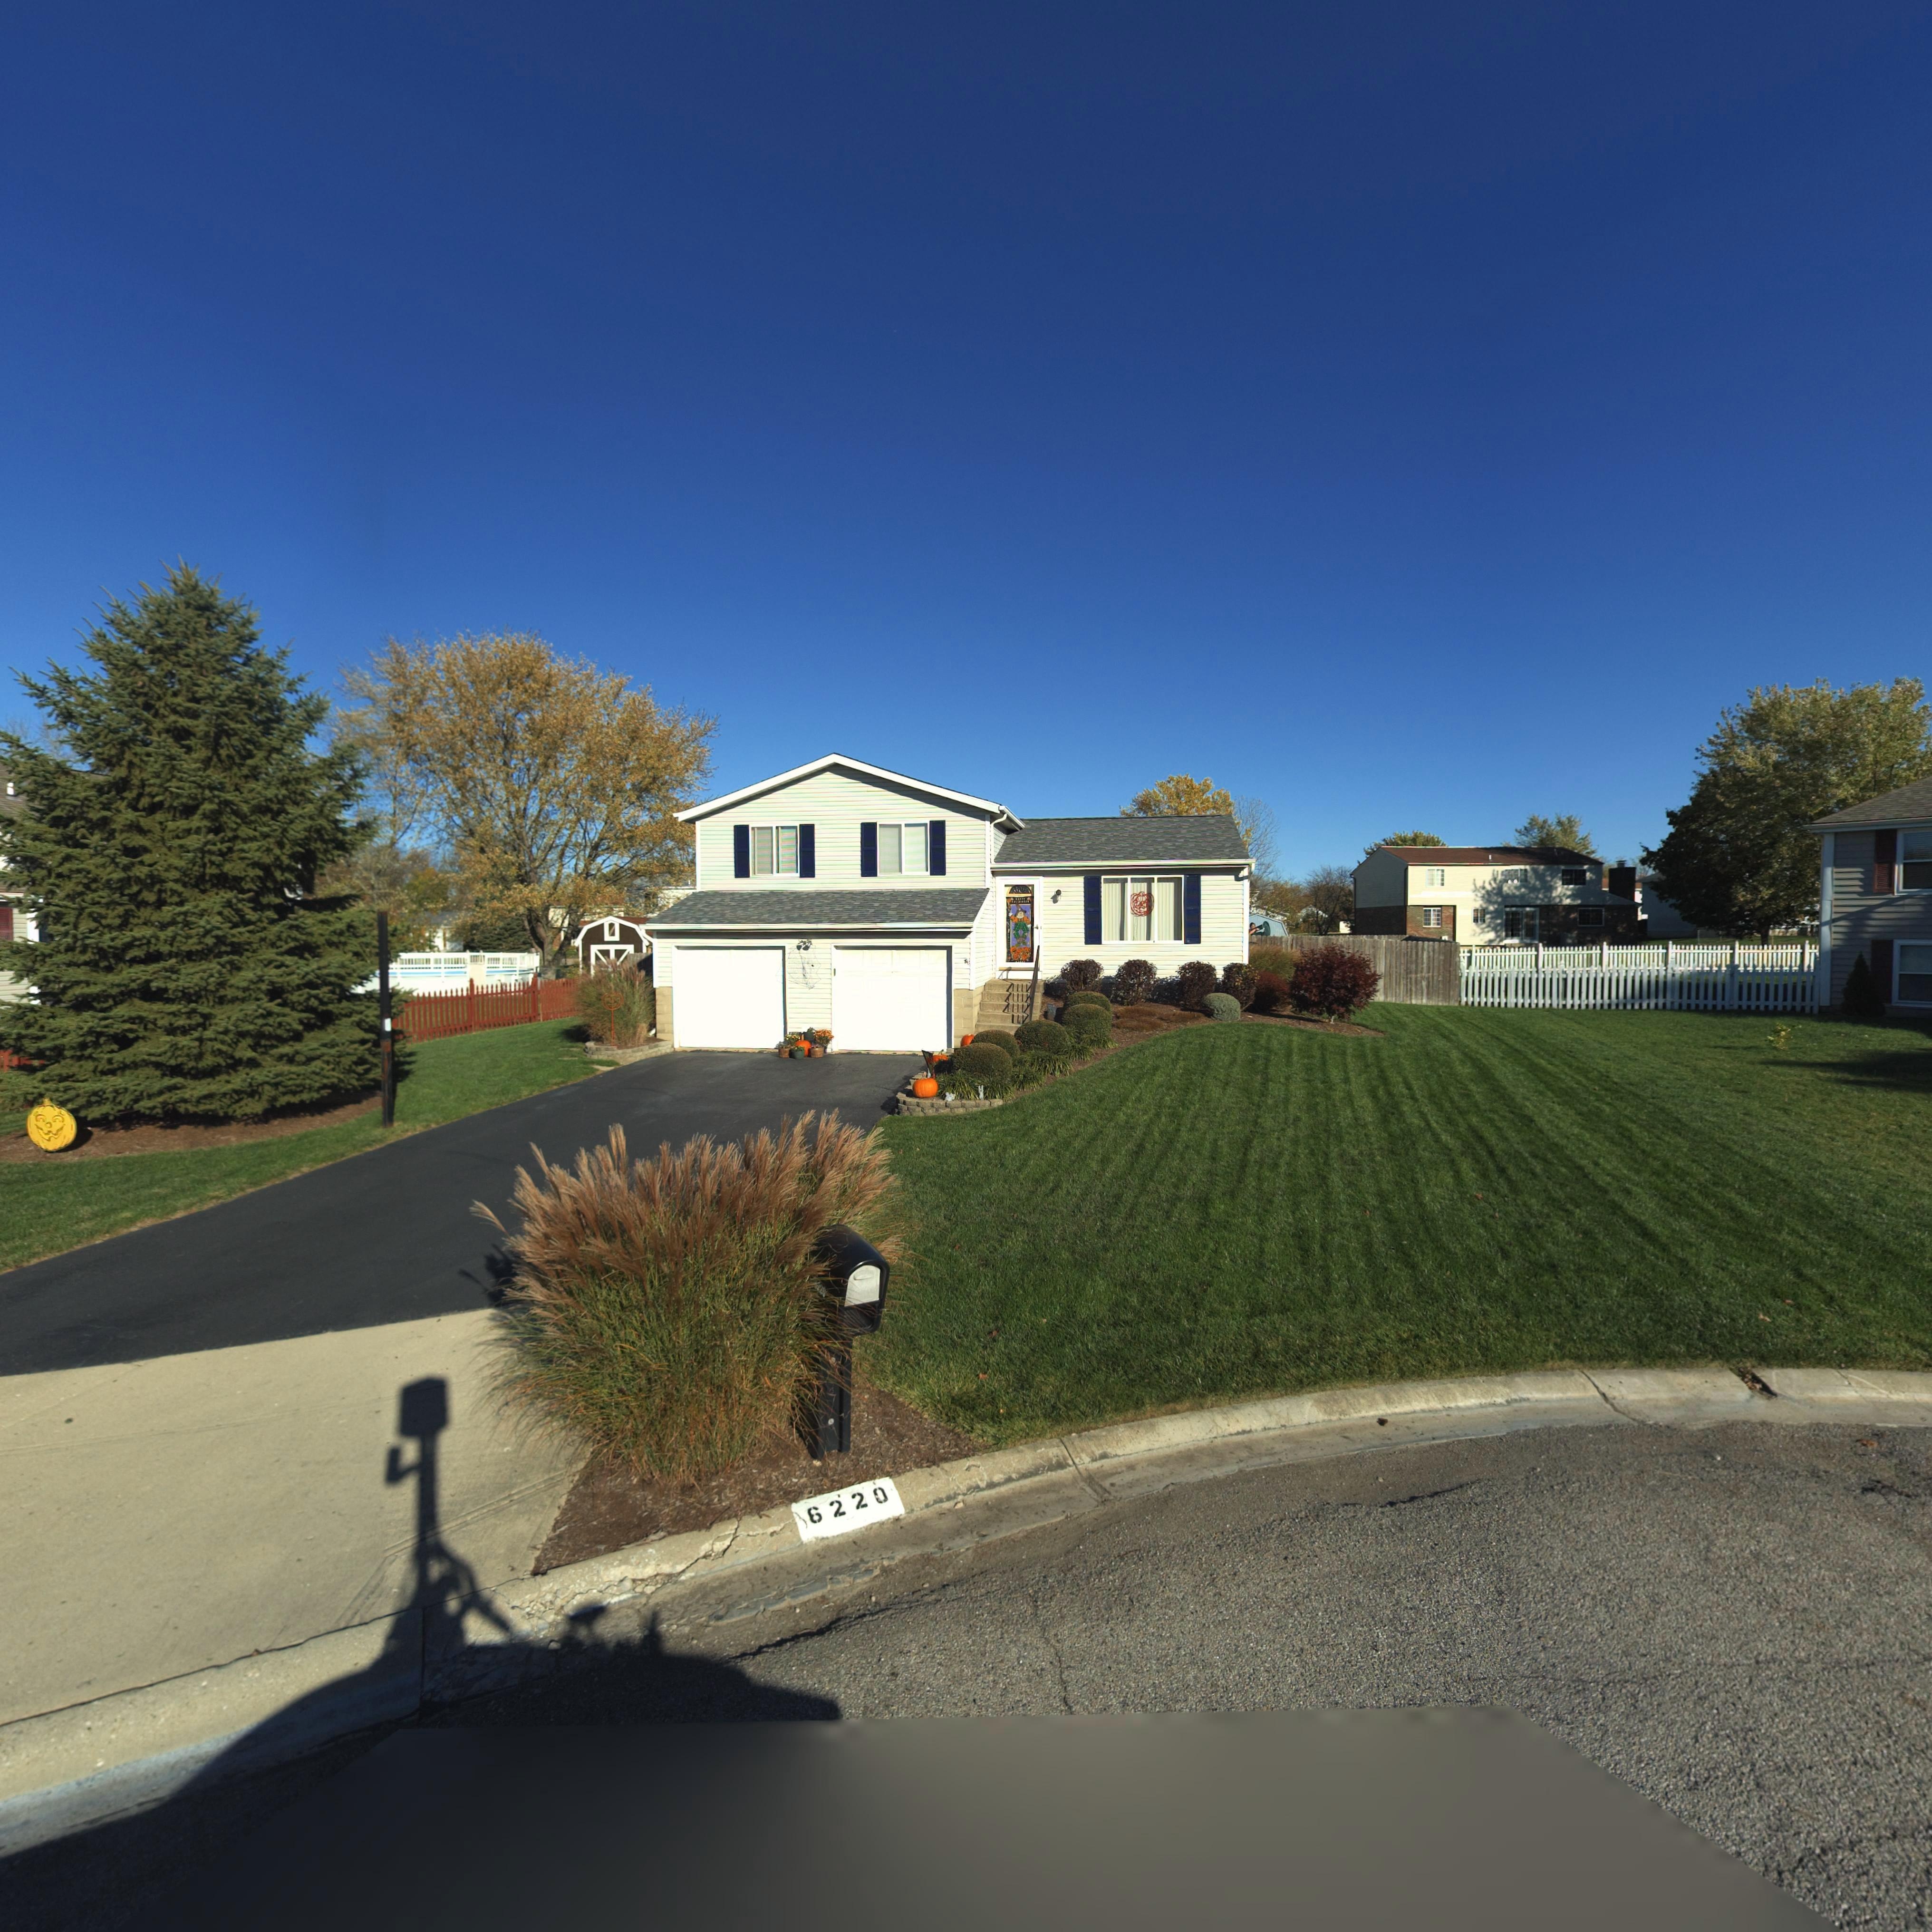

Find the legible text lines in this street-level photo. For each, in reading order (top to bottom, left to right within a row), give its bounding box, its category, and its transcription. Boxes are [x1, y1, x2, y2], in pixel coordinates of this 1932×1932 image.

[803, 1483, 891, 1527] StreetNumber: 6220